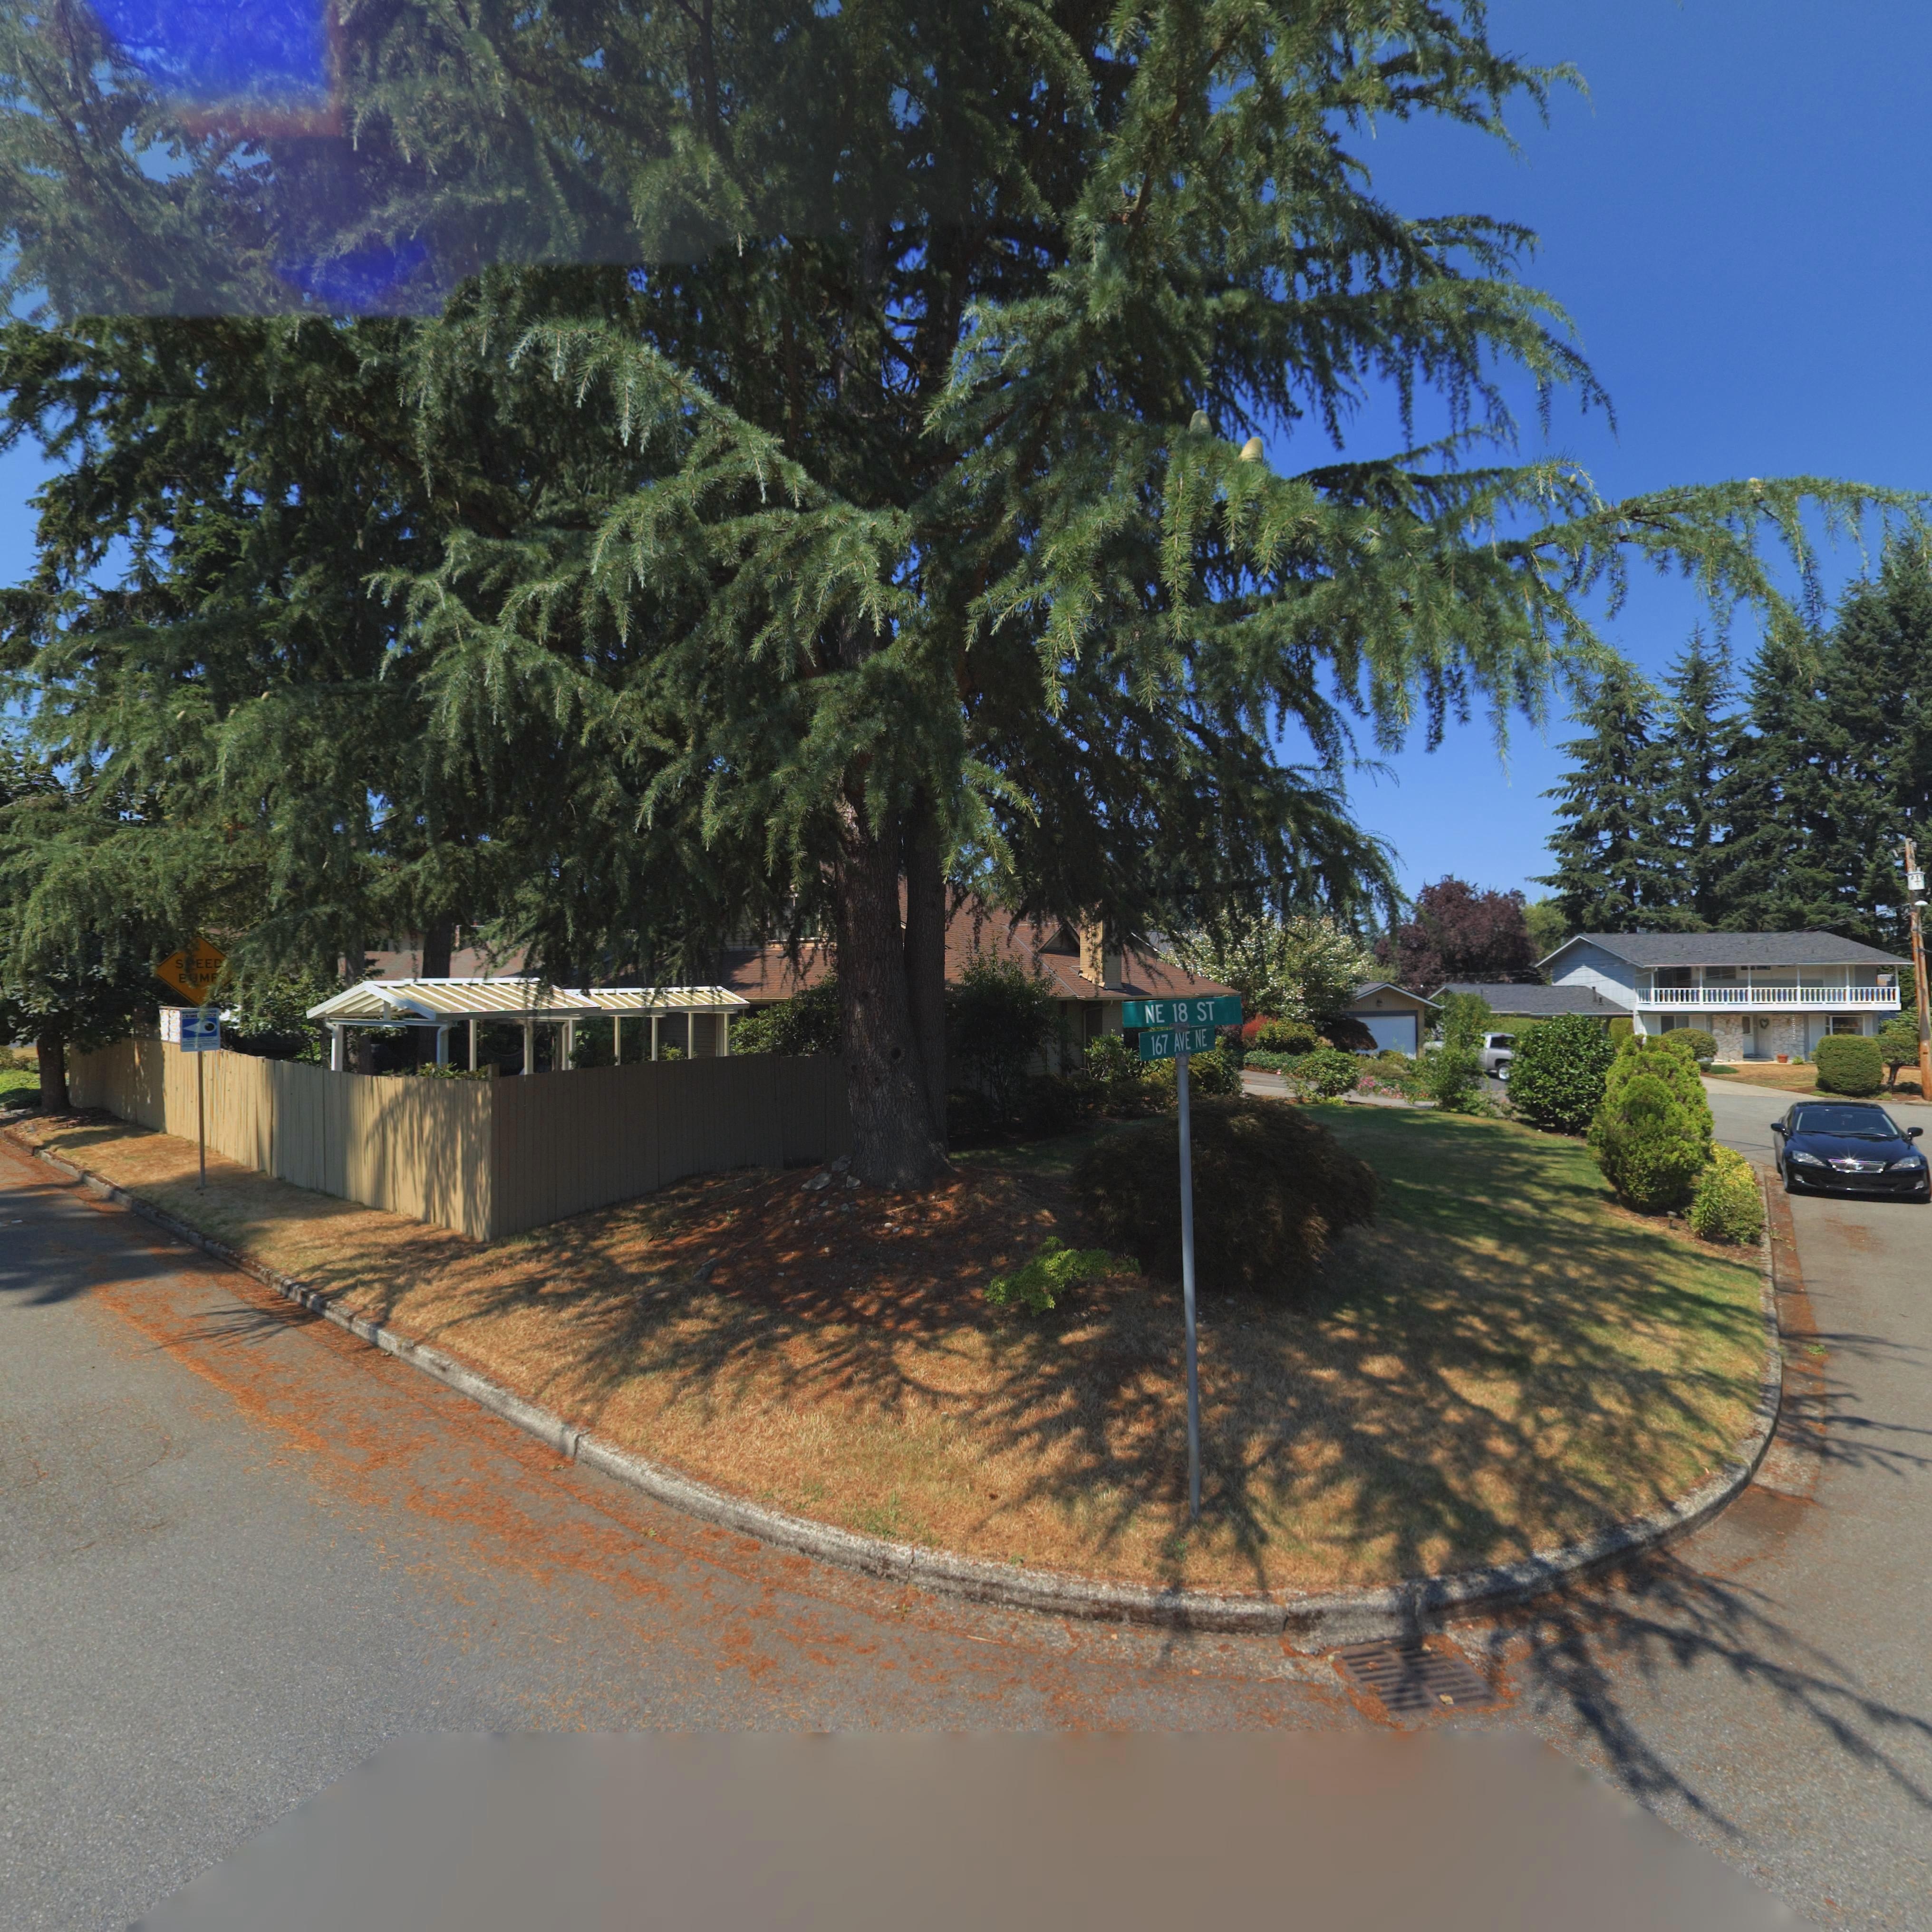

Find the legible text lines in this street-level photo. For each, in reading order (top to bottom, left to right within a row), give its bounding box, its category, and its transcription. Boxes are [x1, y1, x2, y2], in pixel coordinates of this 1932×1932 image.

[1144, 1000, 1215, 1024] StreetName: NE 18 ST
[1150, 1027, 1207, 1056] StreetName: 167 AVE NE